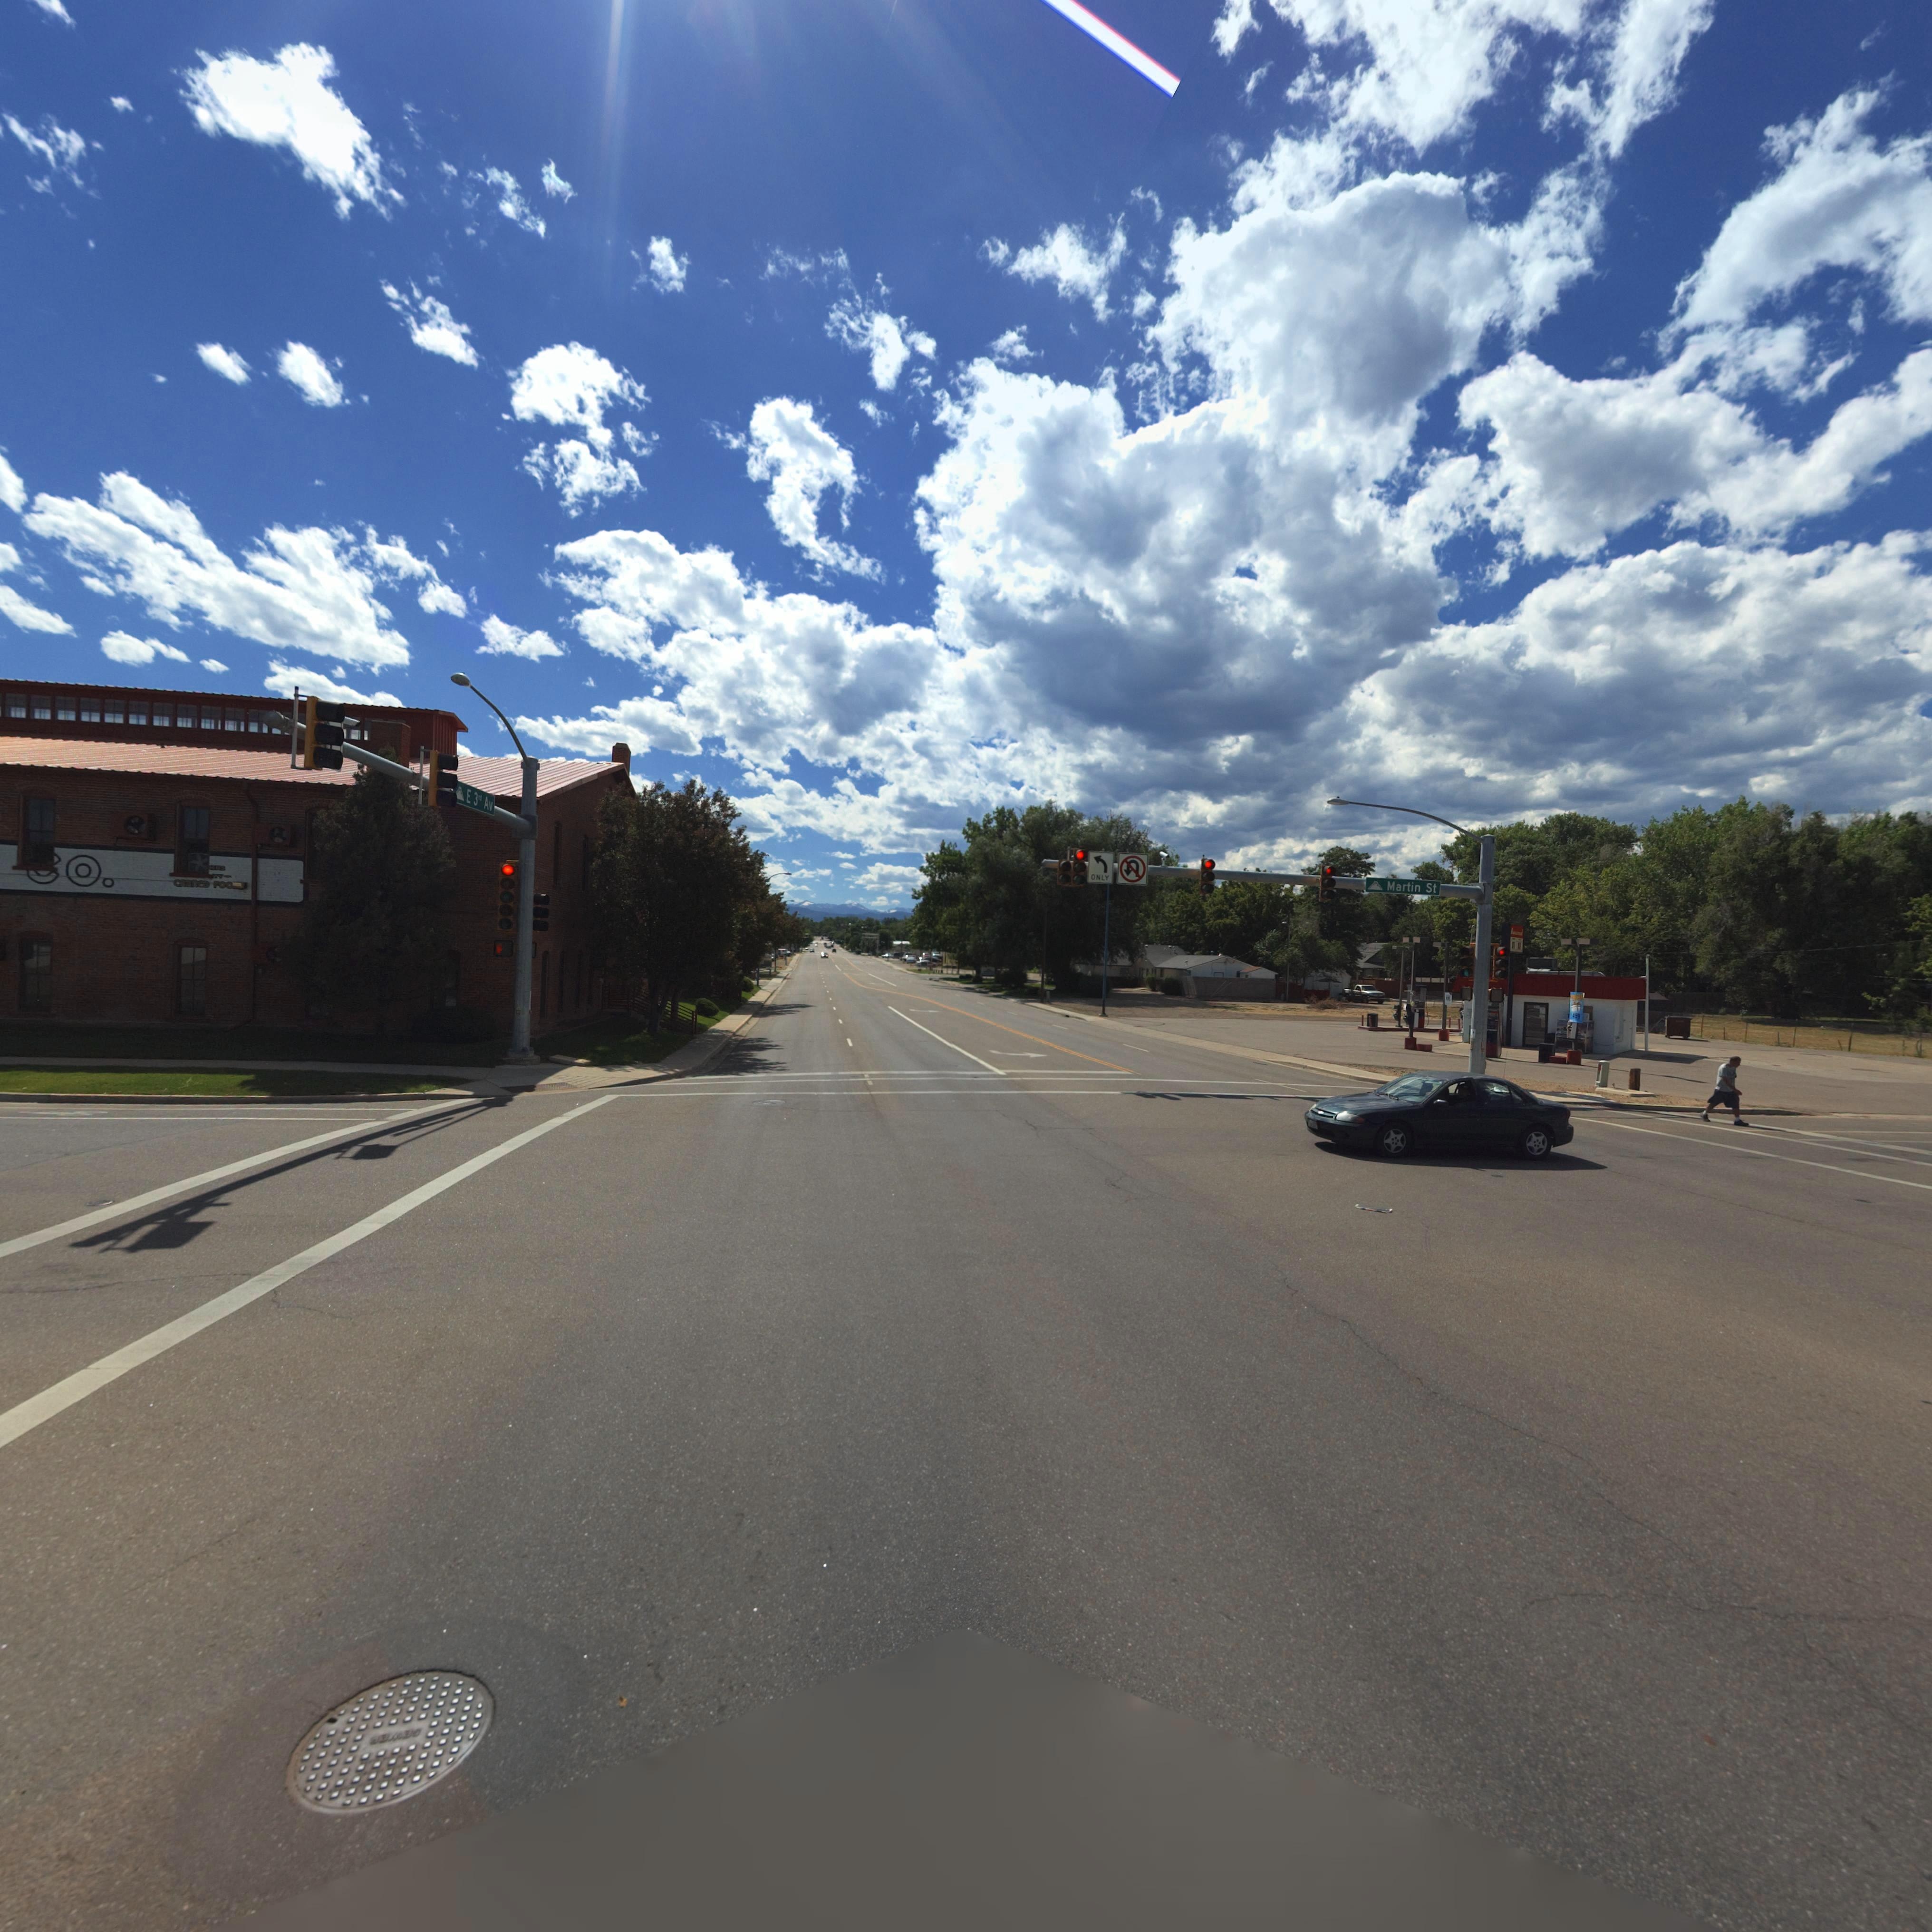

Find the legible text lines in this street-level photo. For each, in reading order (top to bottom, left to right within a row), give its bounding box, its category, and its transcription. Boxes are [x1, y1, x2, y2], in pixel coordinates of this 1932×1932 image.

[466, 788, 494, 811] None: E 3rd Av
[1510, 927, 1523, 936] BusinessName: Gasamat